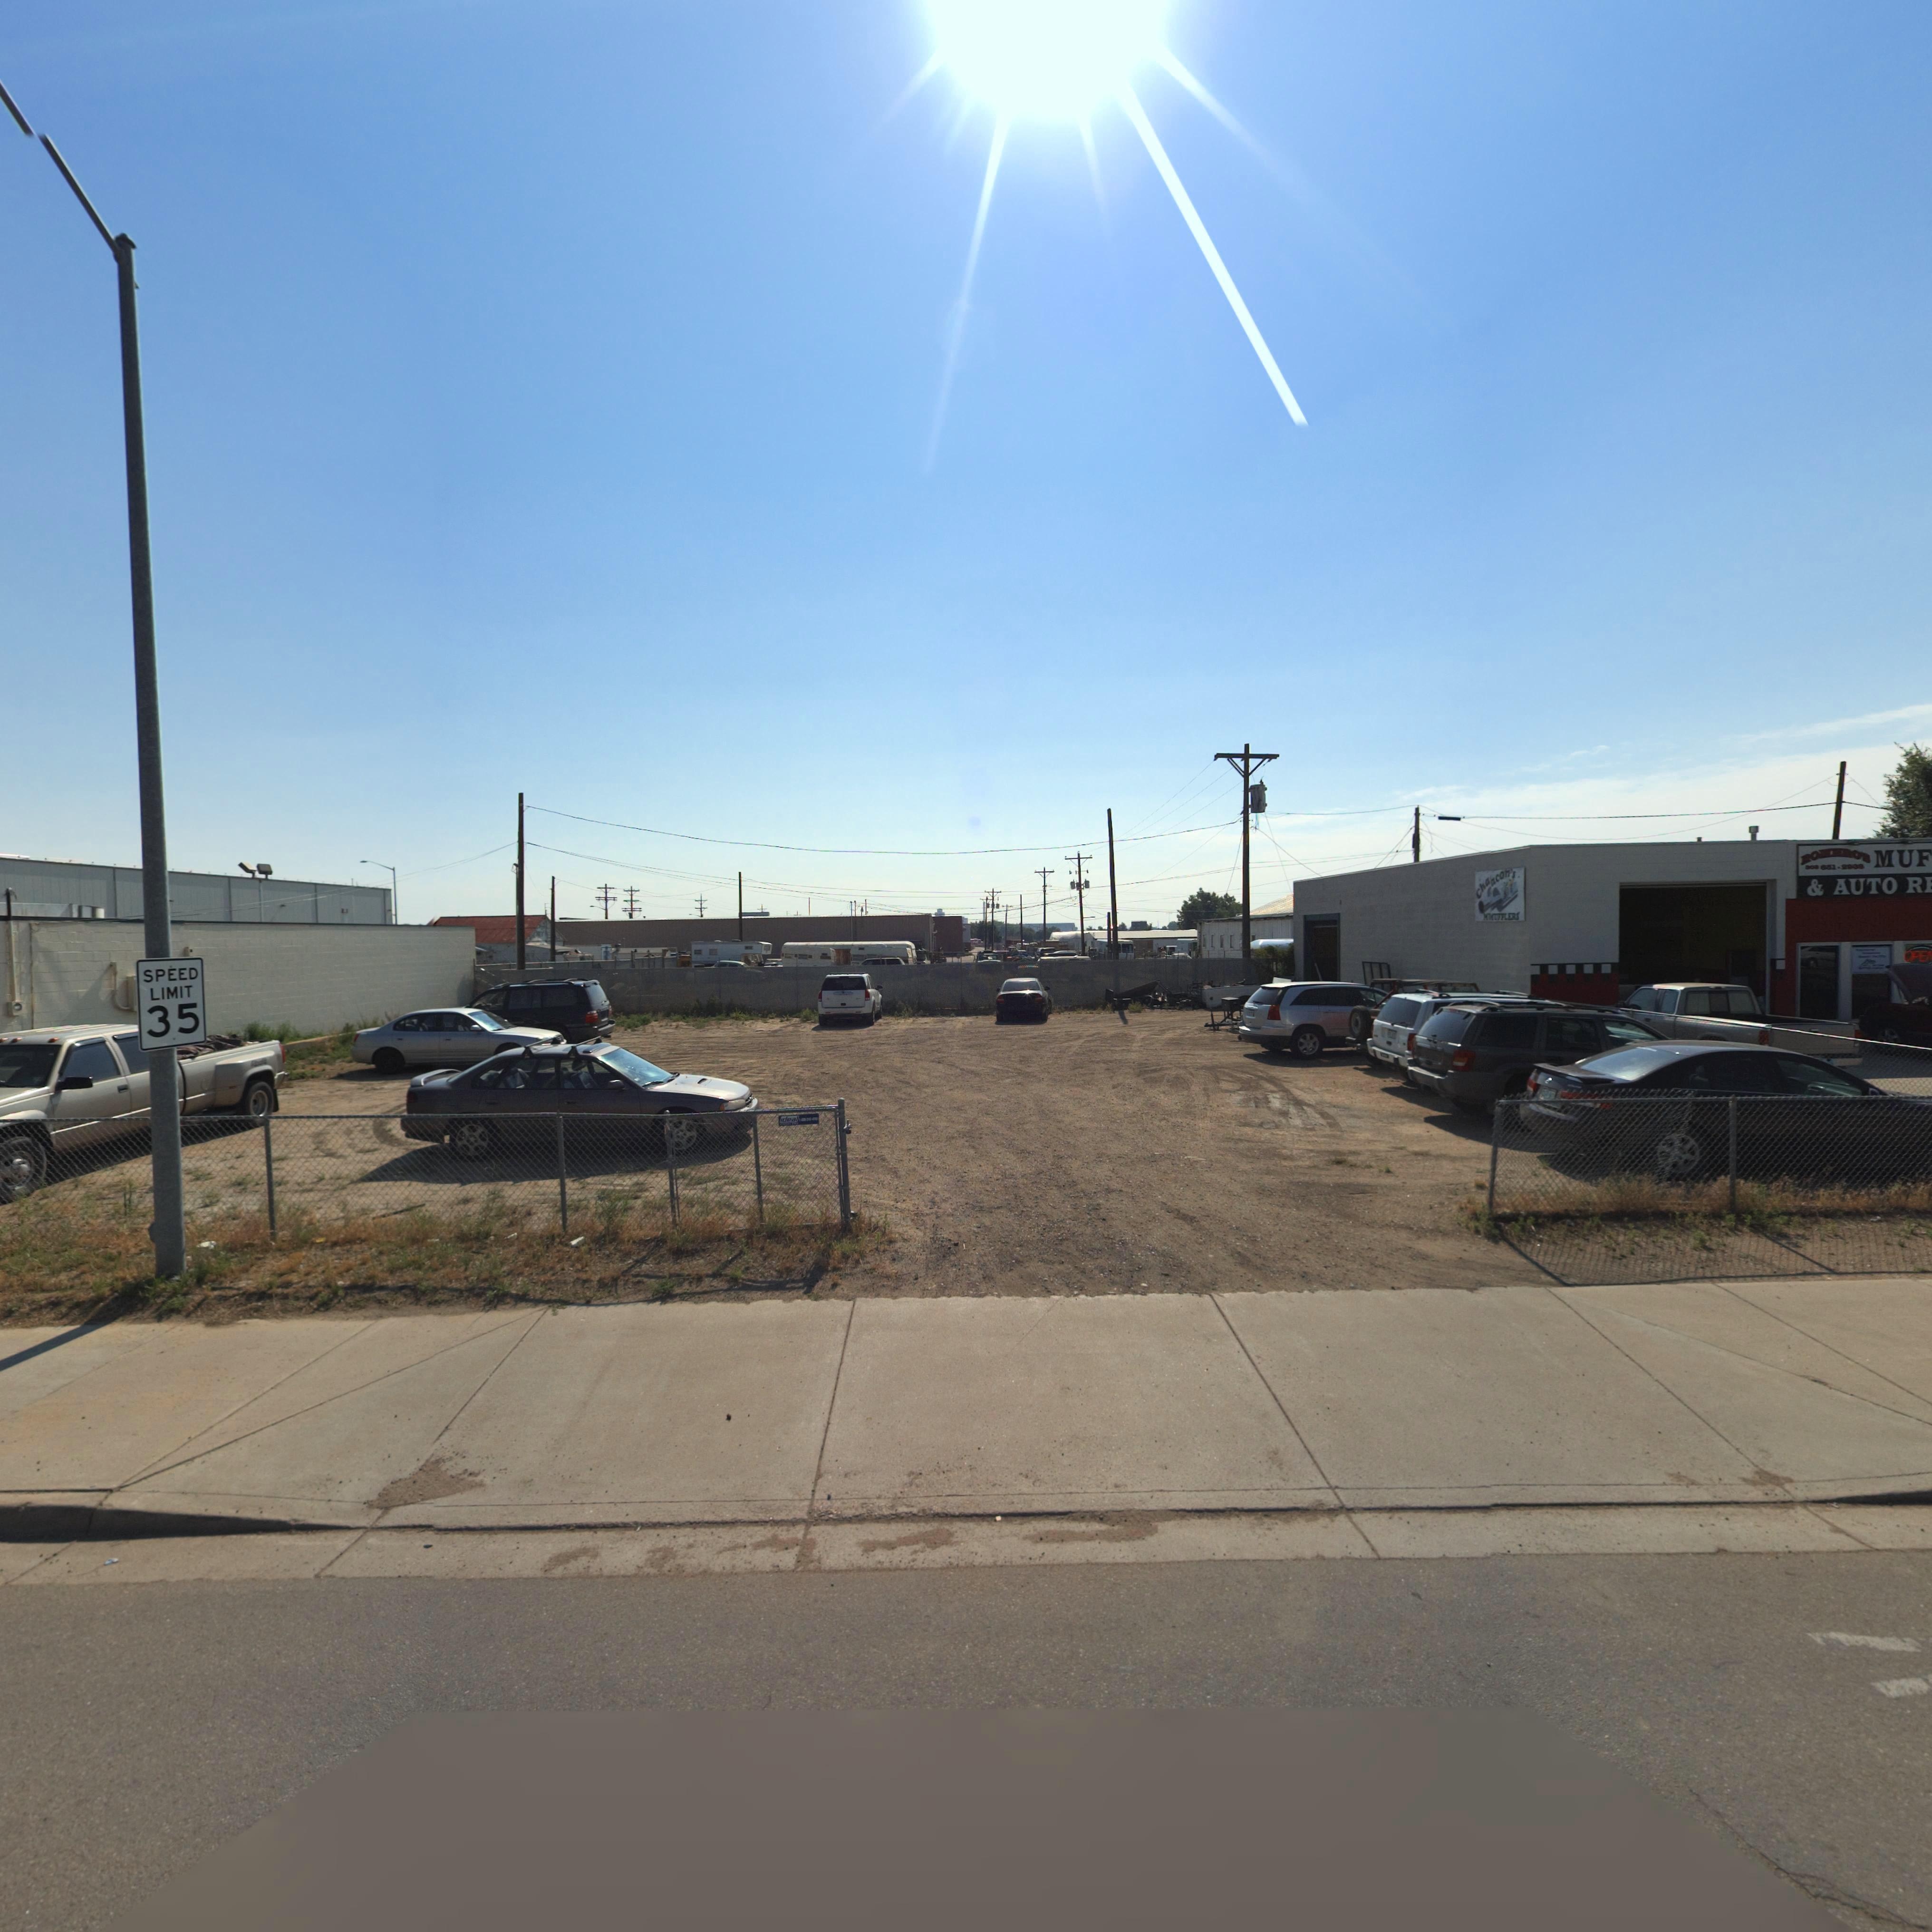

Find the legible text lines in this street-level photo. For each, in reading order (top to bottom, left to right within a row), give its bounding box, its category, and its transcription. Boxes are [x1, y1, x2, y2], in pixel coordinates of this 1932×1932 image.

[1800, 847, 1871, 866] BusinessName: ROMERO'S
[1874, 849, 1932, 869] BusinessName: MUF
[1806, 877, 1923, 896] BusinessName: & AUTO R